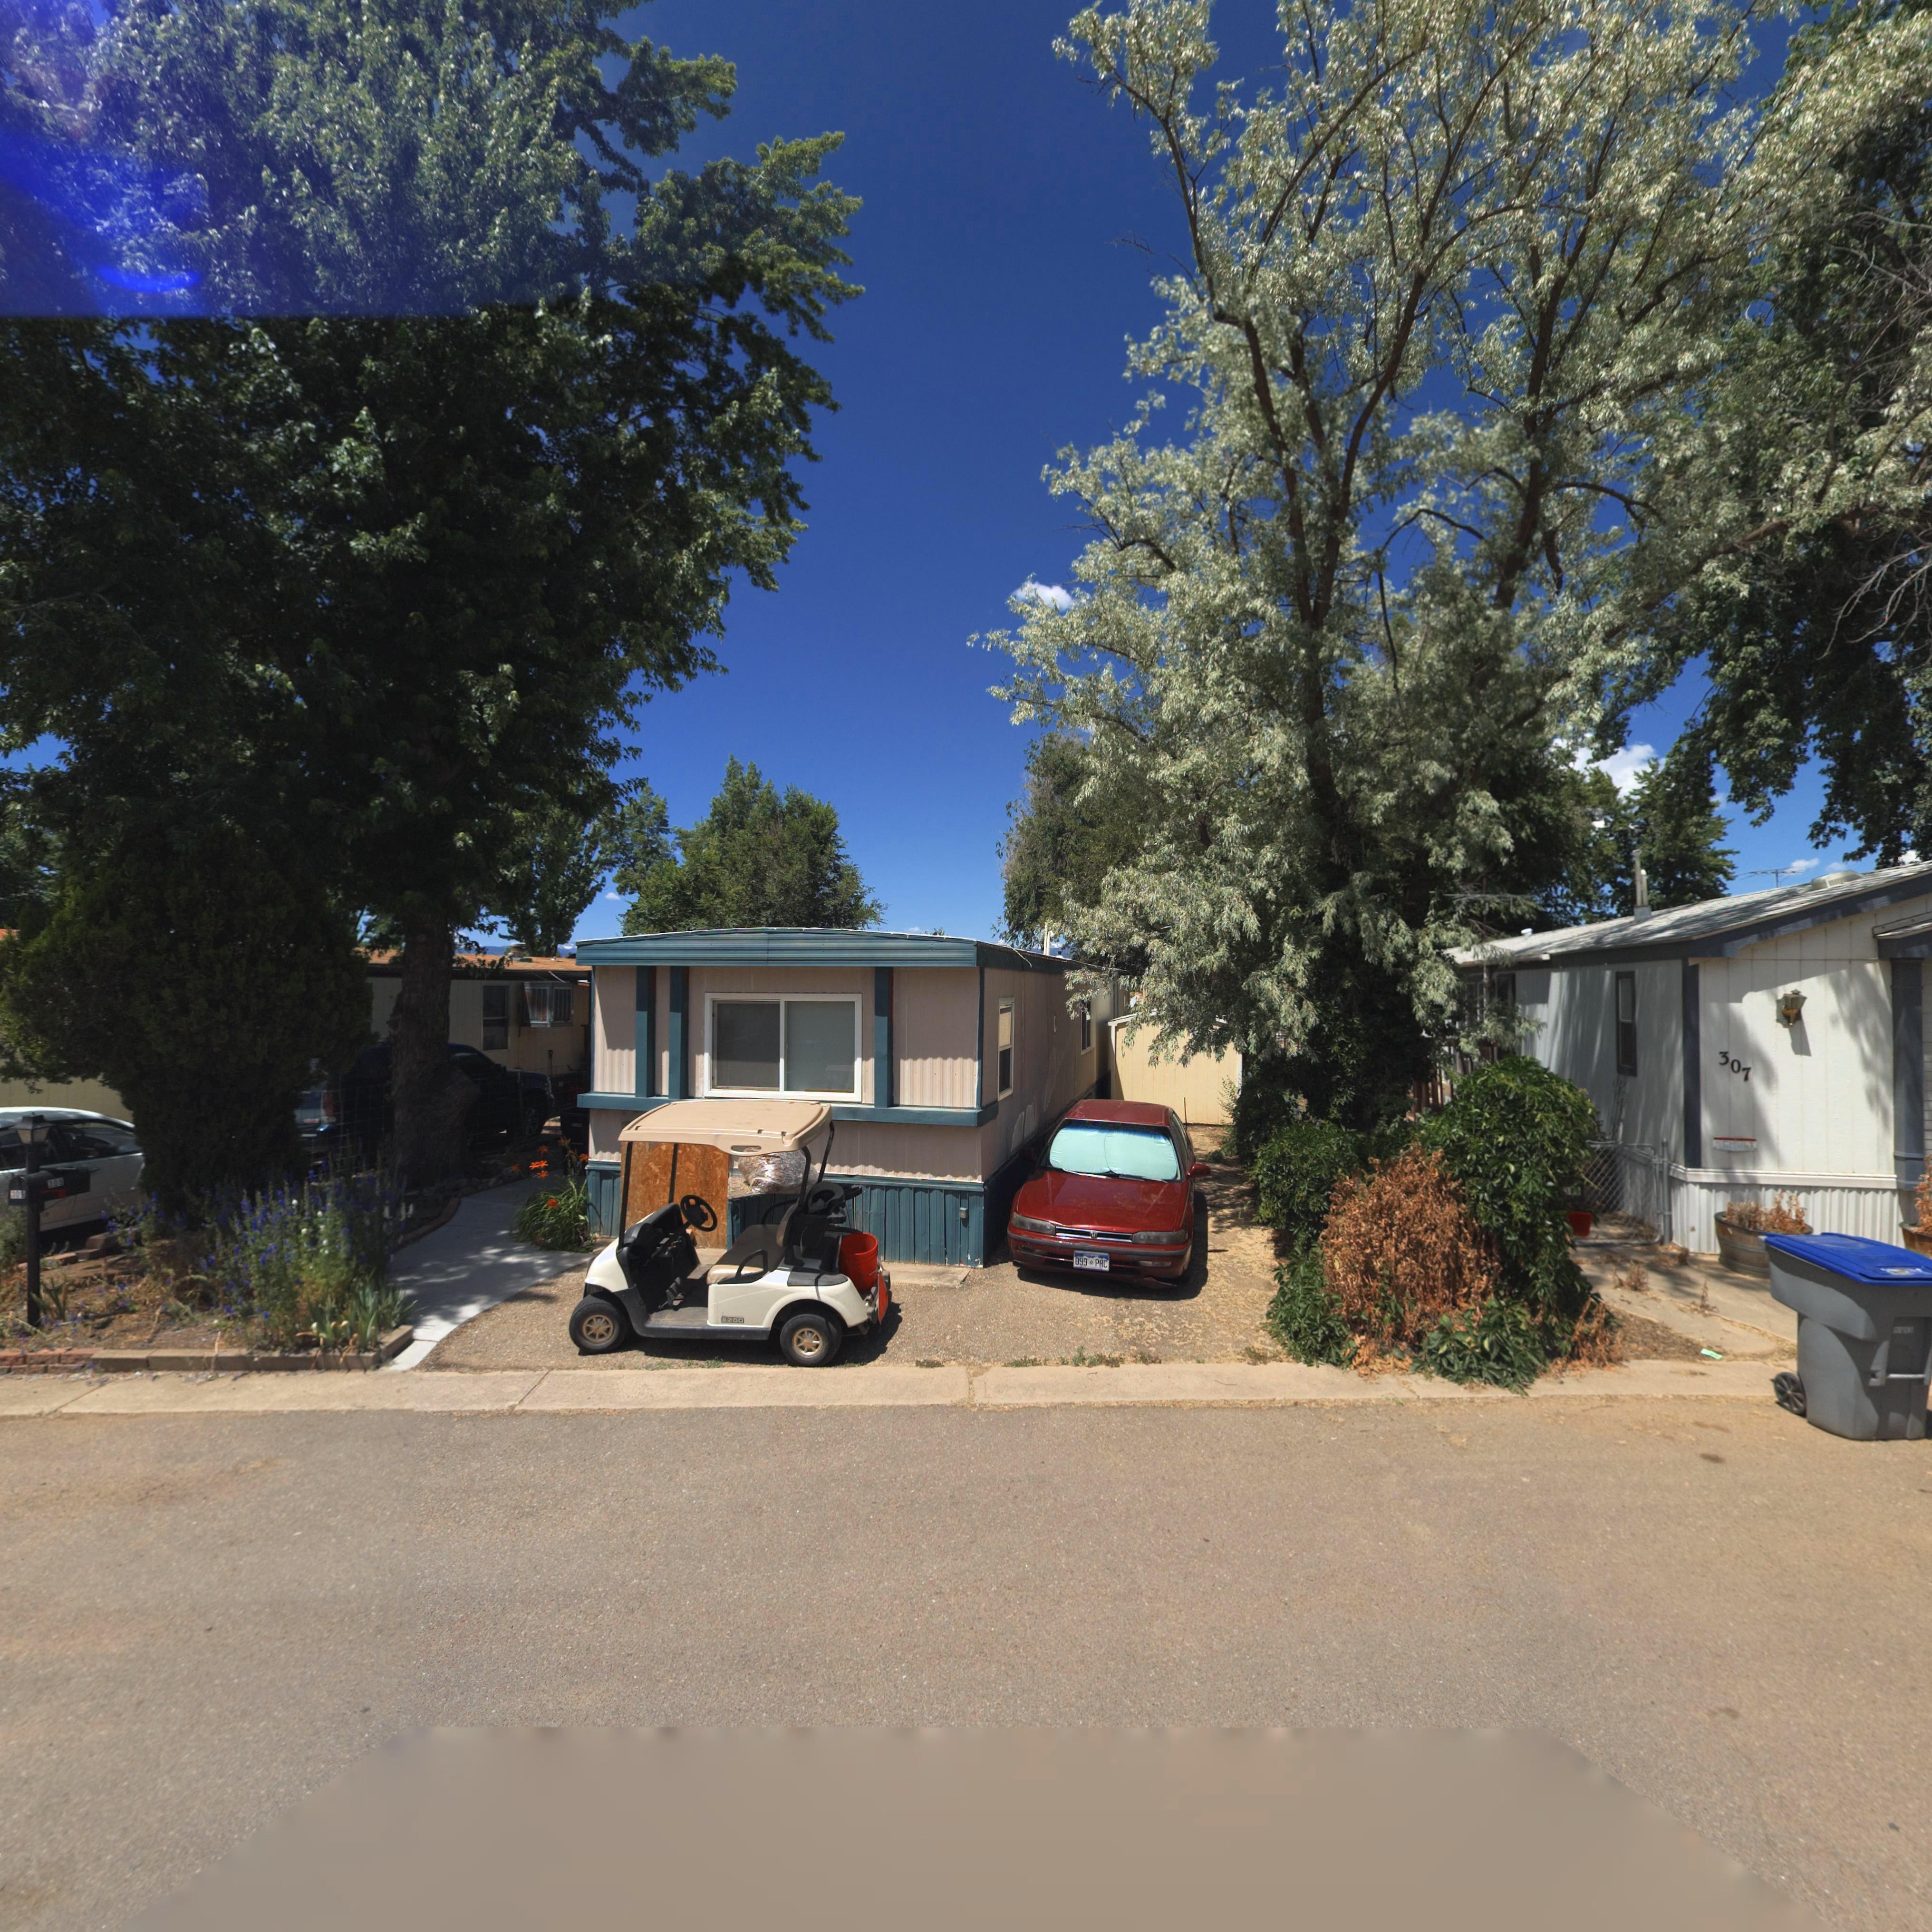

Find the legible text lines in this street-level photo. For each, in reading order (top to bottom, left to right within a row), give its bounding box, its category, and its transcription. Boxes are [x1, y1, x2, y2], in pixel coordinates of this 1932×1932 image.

[1718, 1051, 1751, 1082] StreetNumber: 307
[48, 1178, 65, 1188] StreetNumber: 3**
[10, 1190, 25, 1198] StreetNumber: 309